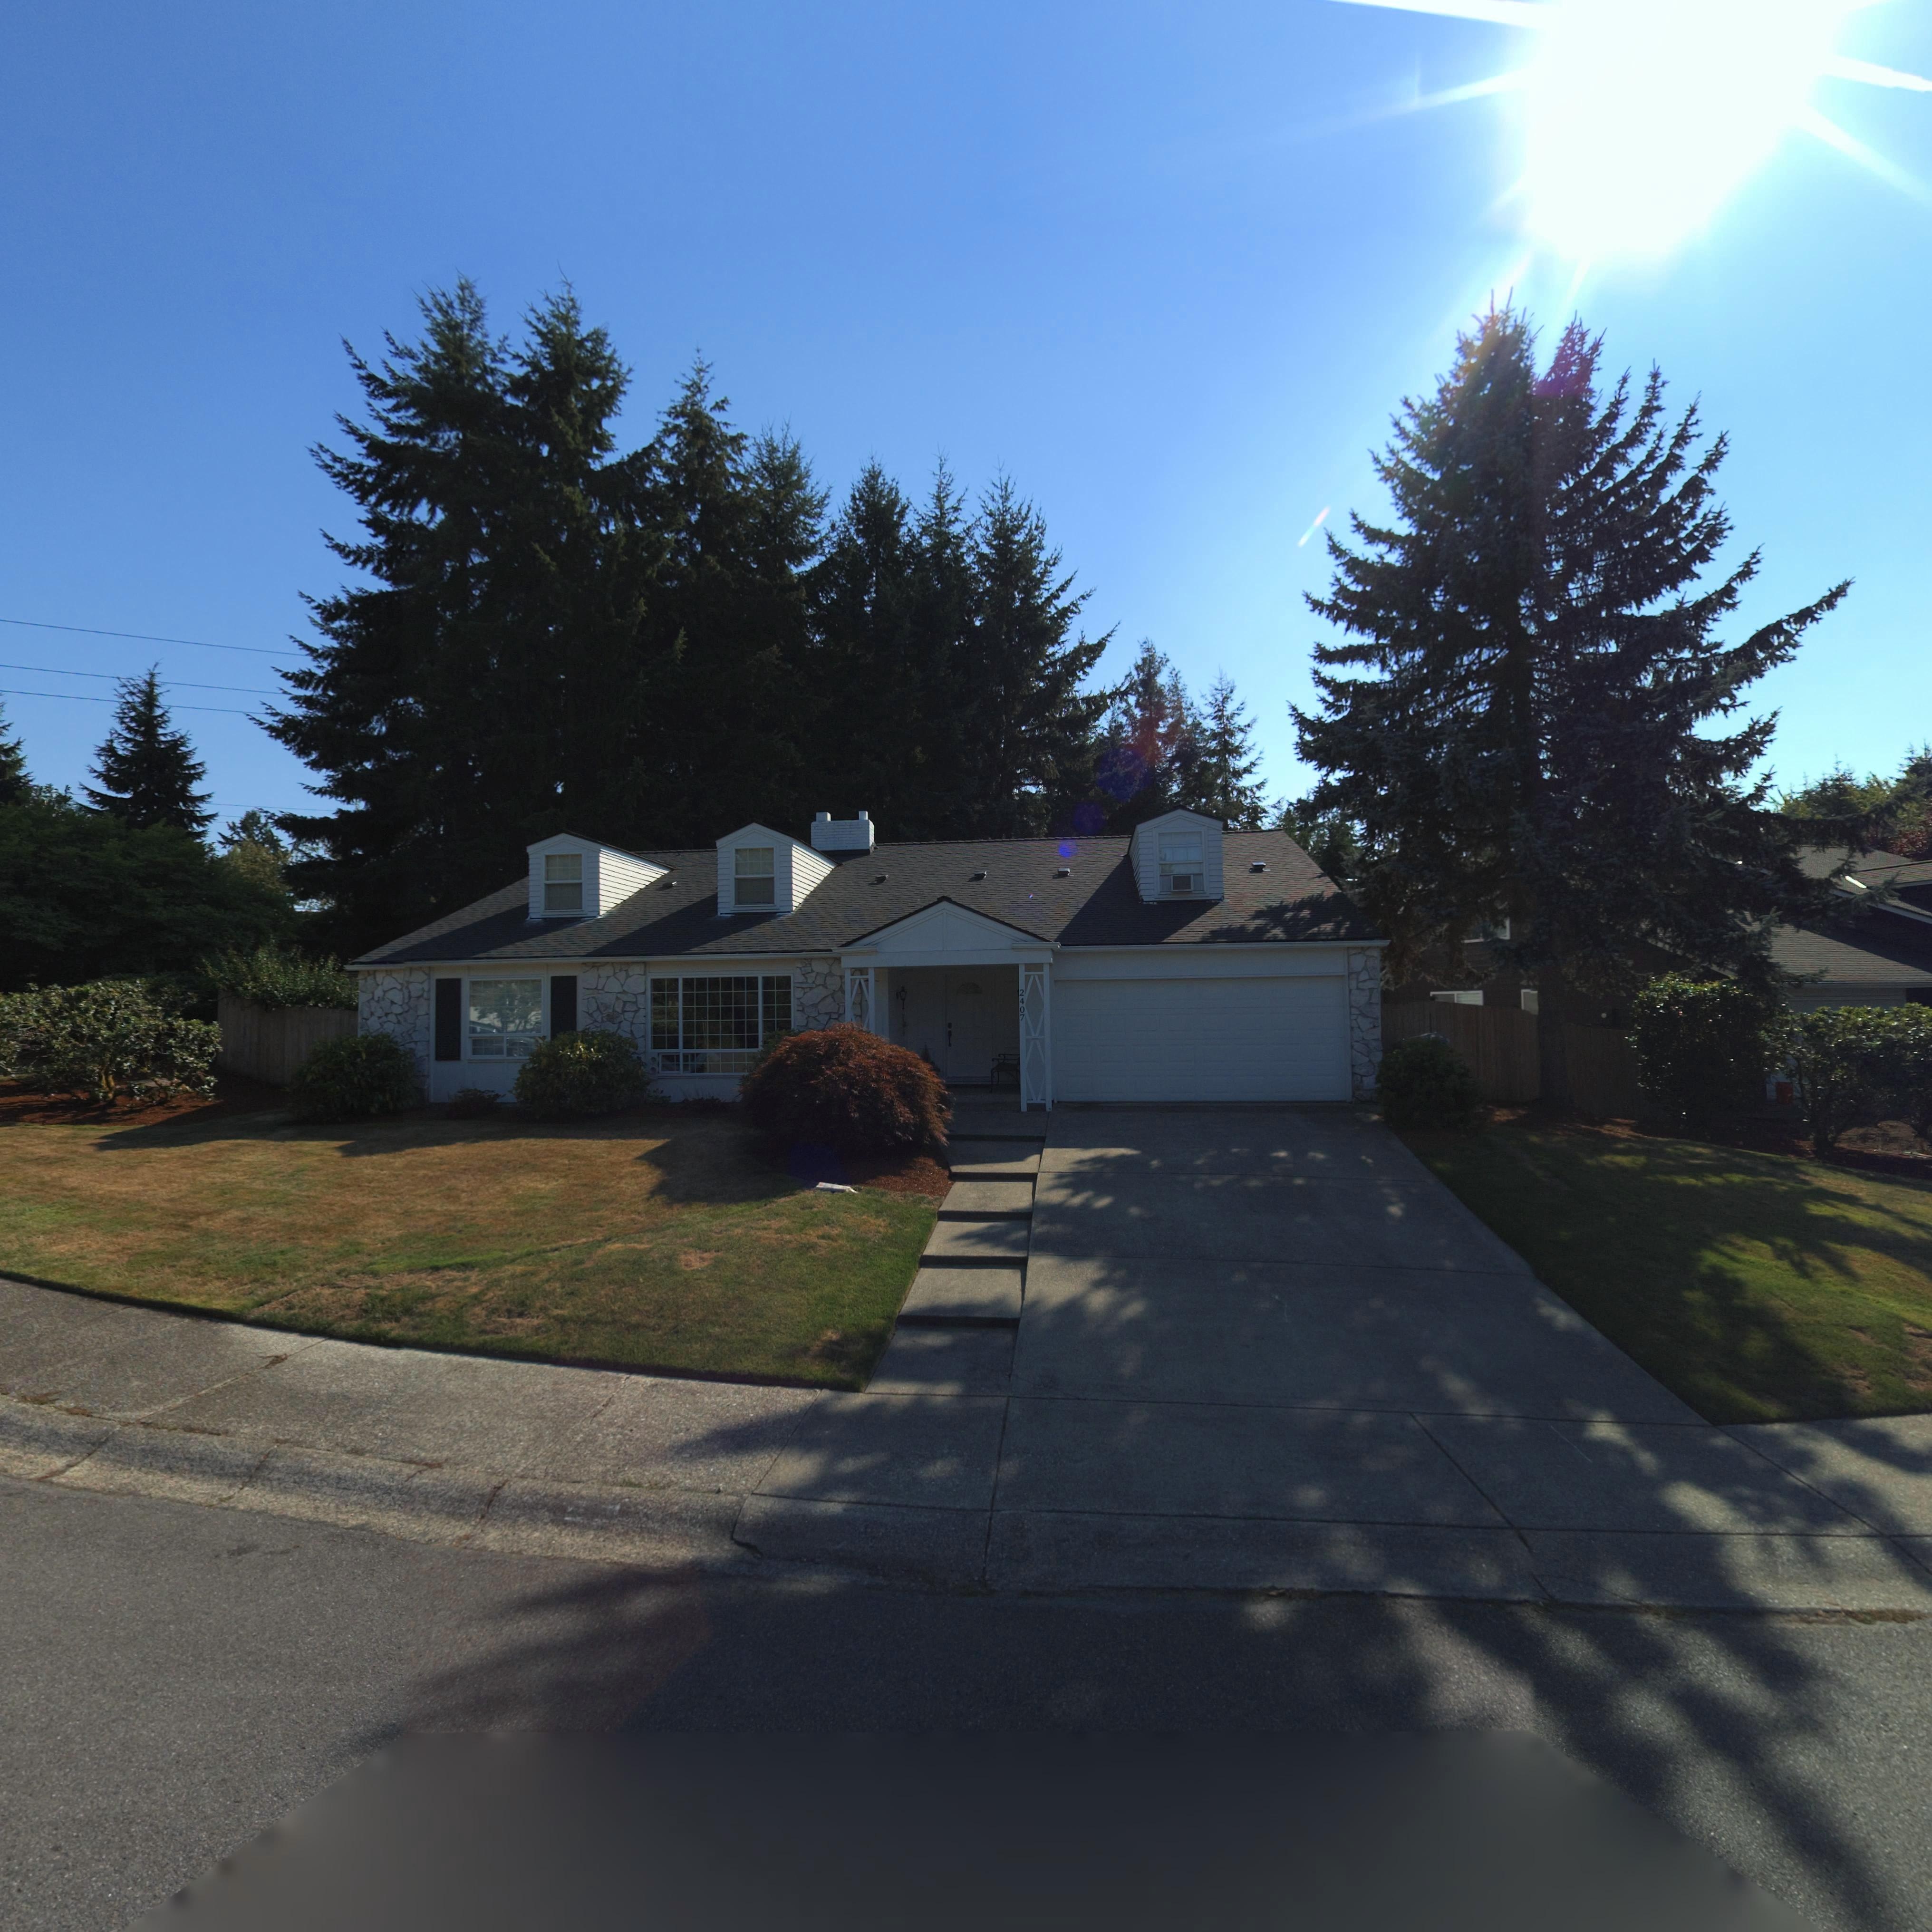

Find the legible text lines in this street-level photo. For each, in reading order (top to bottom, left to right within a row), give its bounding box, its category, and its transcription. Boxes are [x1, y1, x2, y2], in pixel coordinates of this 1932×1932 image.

[1019, 988, 1025, 1022] StreetNumber: 2407